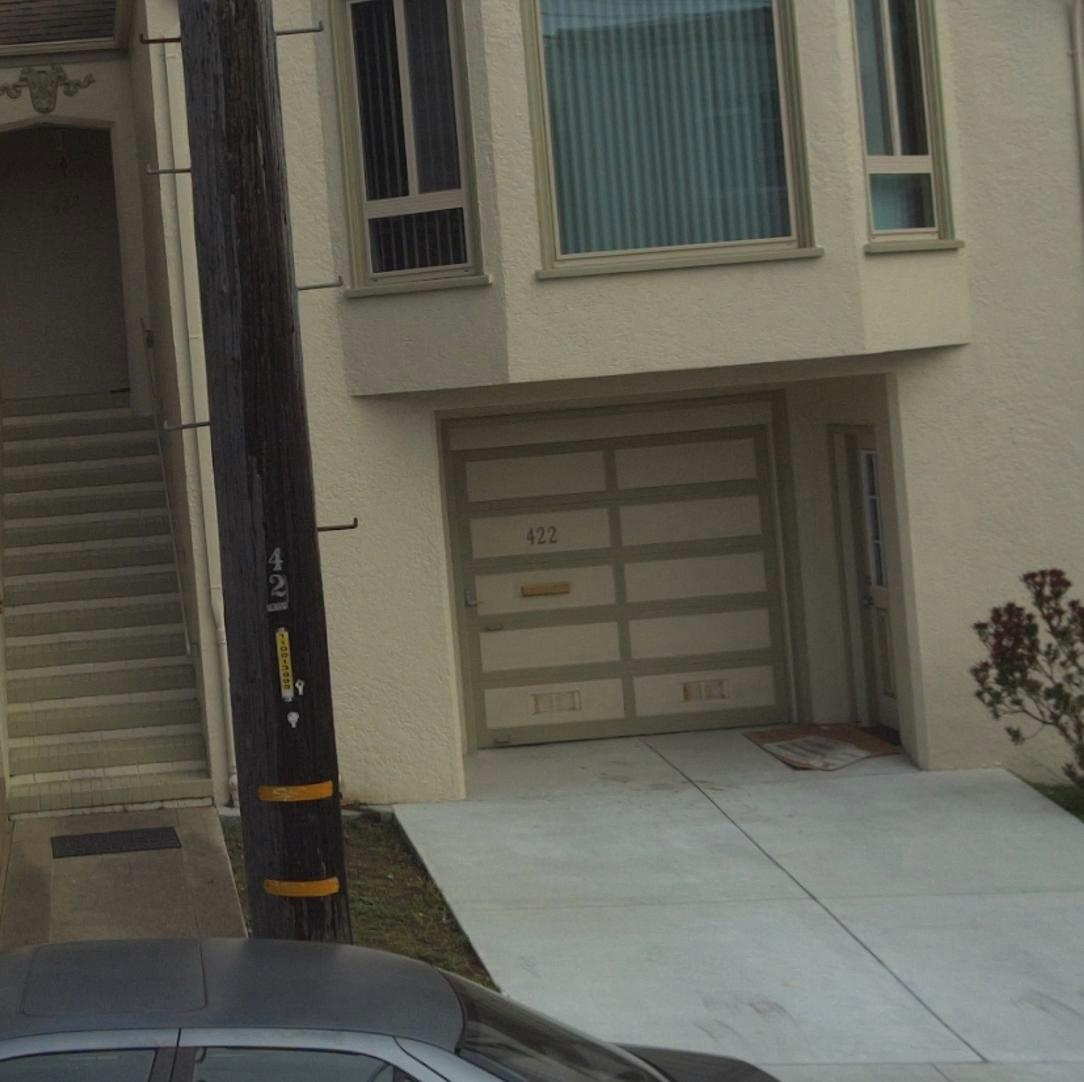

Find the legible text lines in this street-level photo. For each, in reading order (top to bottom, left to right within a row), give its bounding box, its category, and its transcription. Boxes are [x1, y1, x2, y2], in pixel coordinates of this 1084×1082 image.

[524, 525, 559, 546] StreetNumber: 422
[266, 545, 289, 599] None: 42
[277, 631, 293, 687] None: 11001369